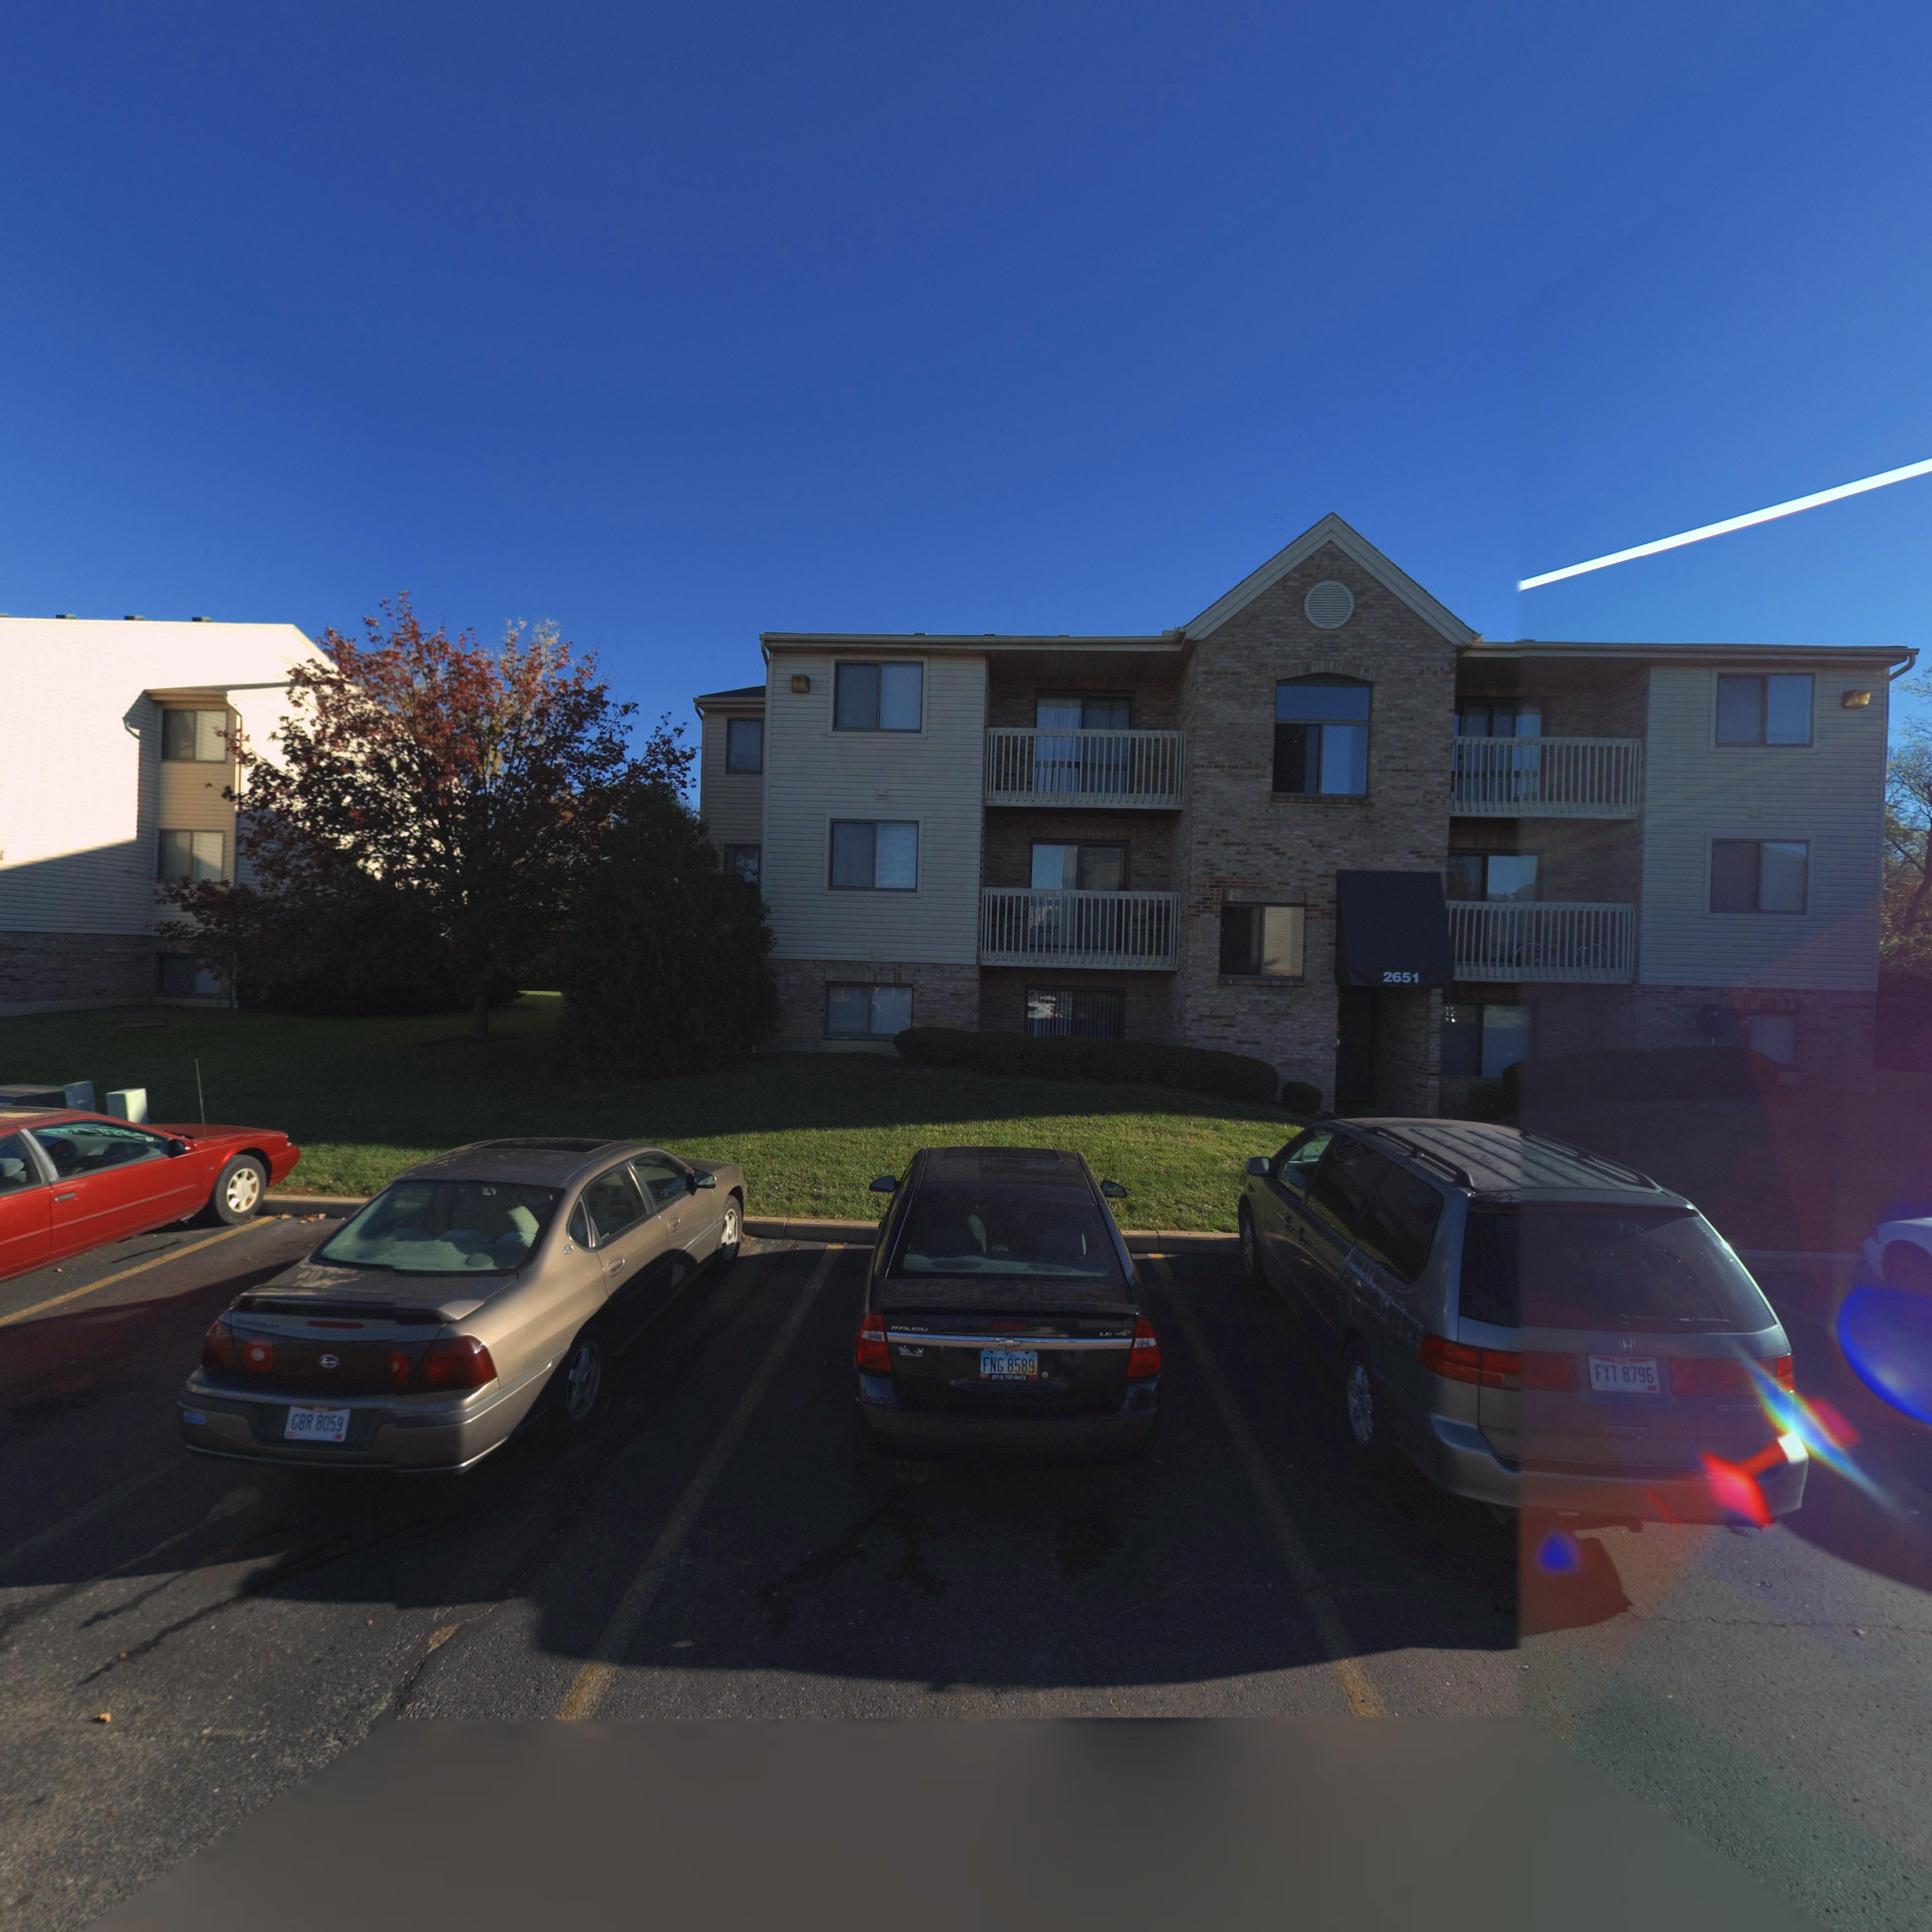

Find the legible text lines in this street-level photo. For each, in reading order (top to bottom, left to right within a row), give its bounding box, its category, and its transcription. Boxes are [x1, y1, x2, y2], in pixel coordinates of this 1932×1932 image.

[1381, 969, 1421, 985] StreetNumber: 2651